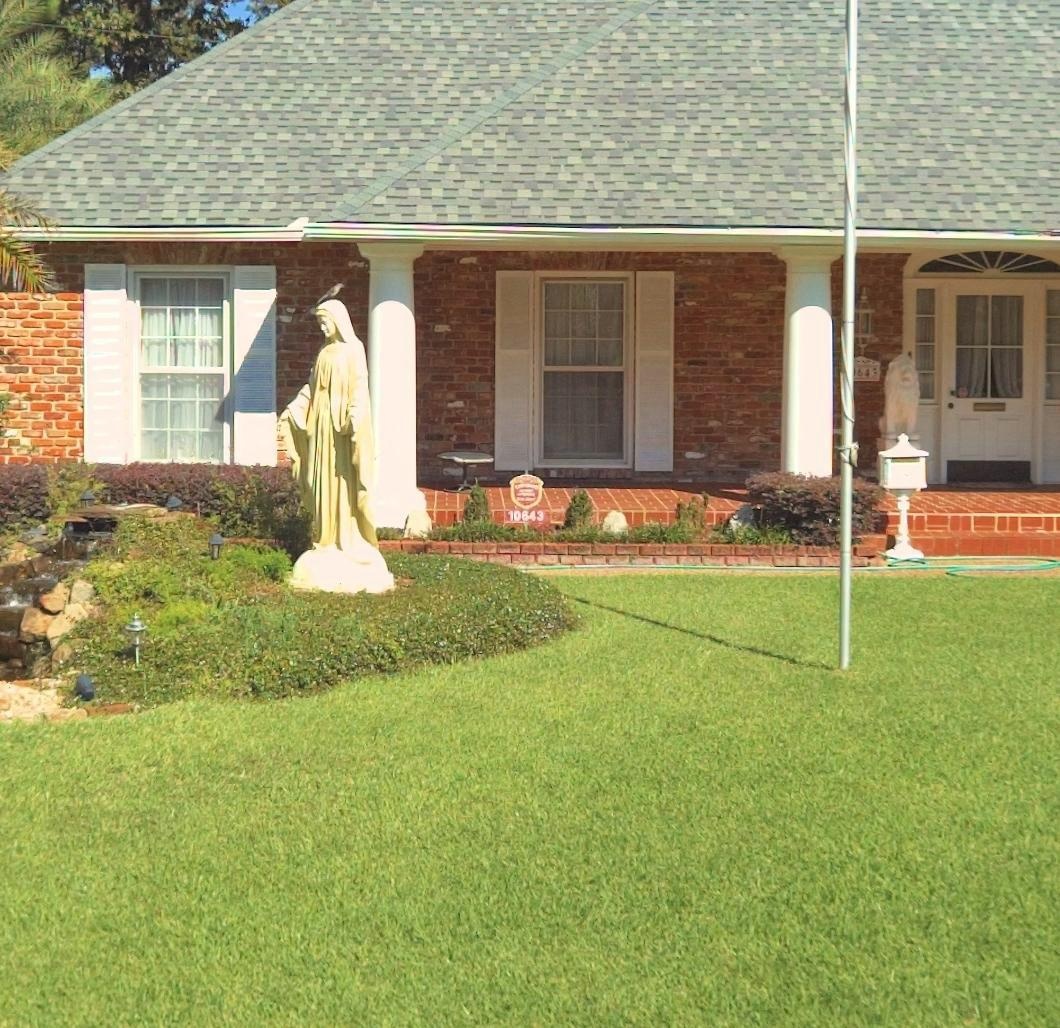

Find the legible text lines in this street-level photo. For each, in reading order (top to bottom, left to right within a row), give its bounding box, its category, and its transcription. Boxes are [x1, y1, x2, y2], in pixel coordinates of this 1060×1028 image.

[856, 366, 880, 379] StreetNumber: 643
[506, 508, 545, 523] StreetNumber: 10643